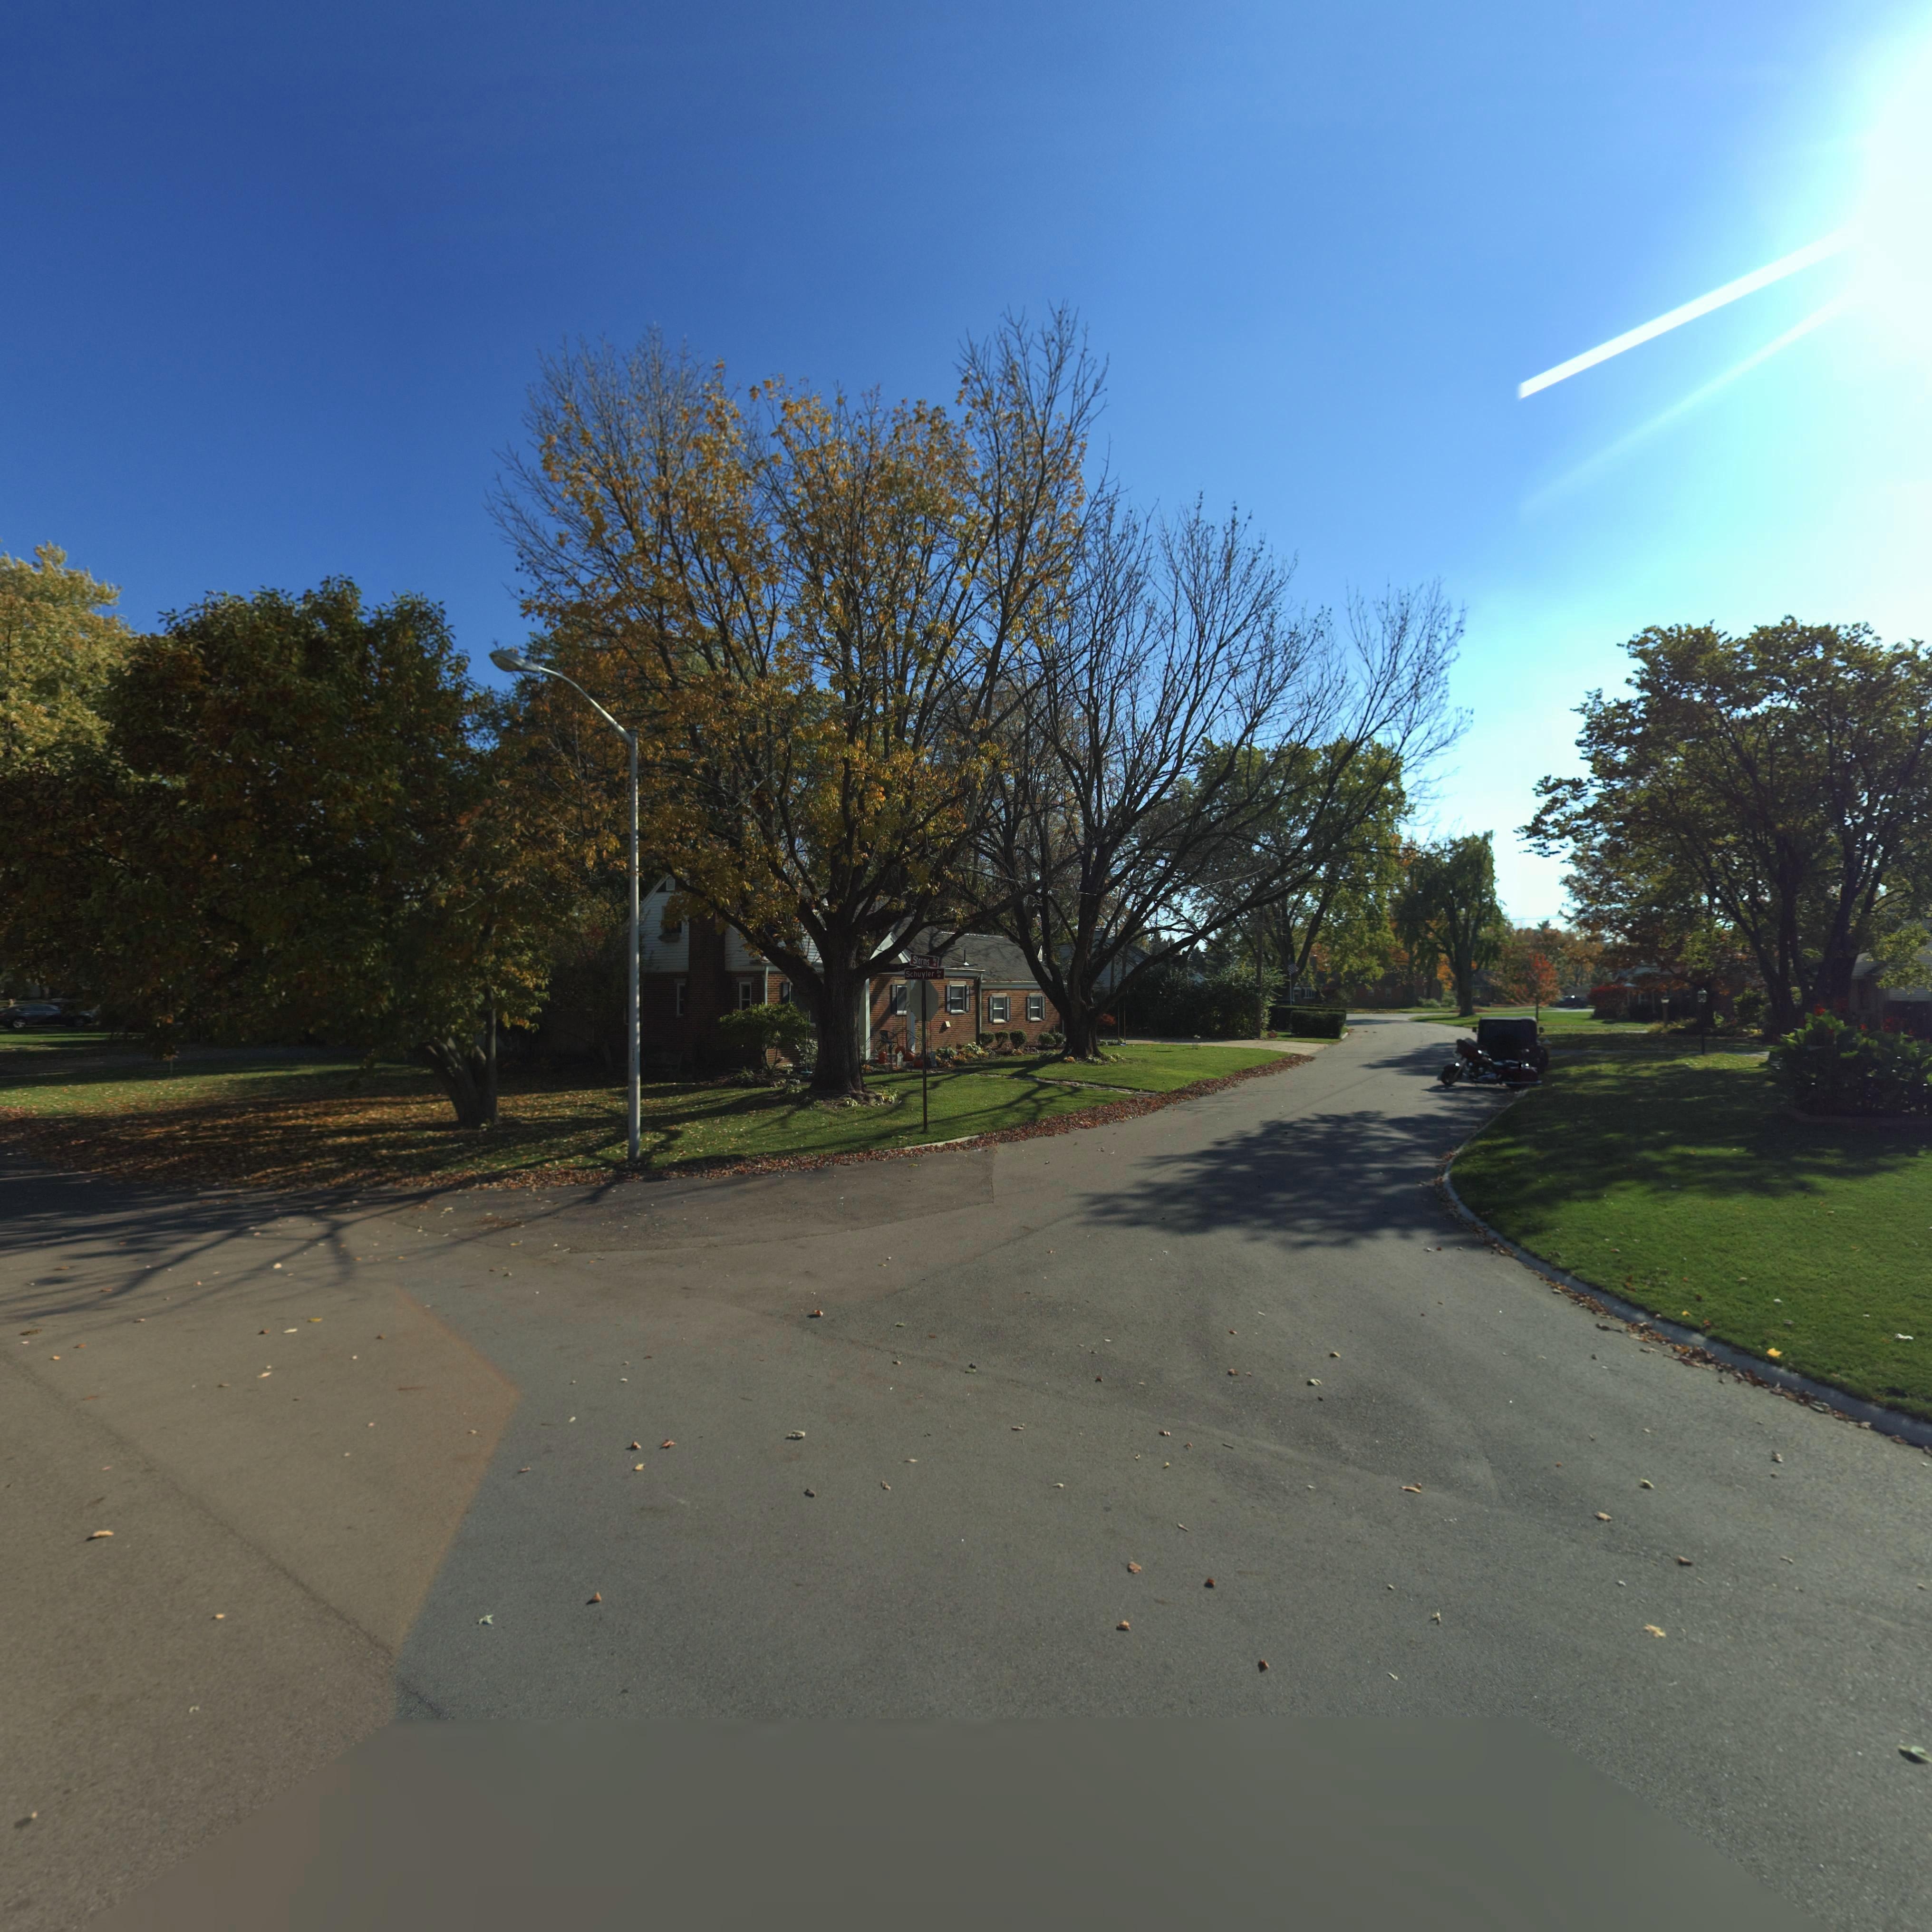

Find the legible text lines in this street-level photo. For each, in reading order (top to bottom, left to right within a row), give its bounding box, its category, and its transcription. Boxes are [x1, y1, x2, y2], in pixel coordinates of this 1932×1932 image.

[913, 955, 937, 966] StreetName: Storms Rd
[906, 970, 942, 979] StreetName: Schuyler Dr